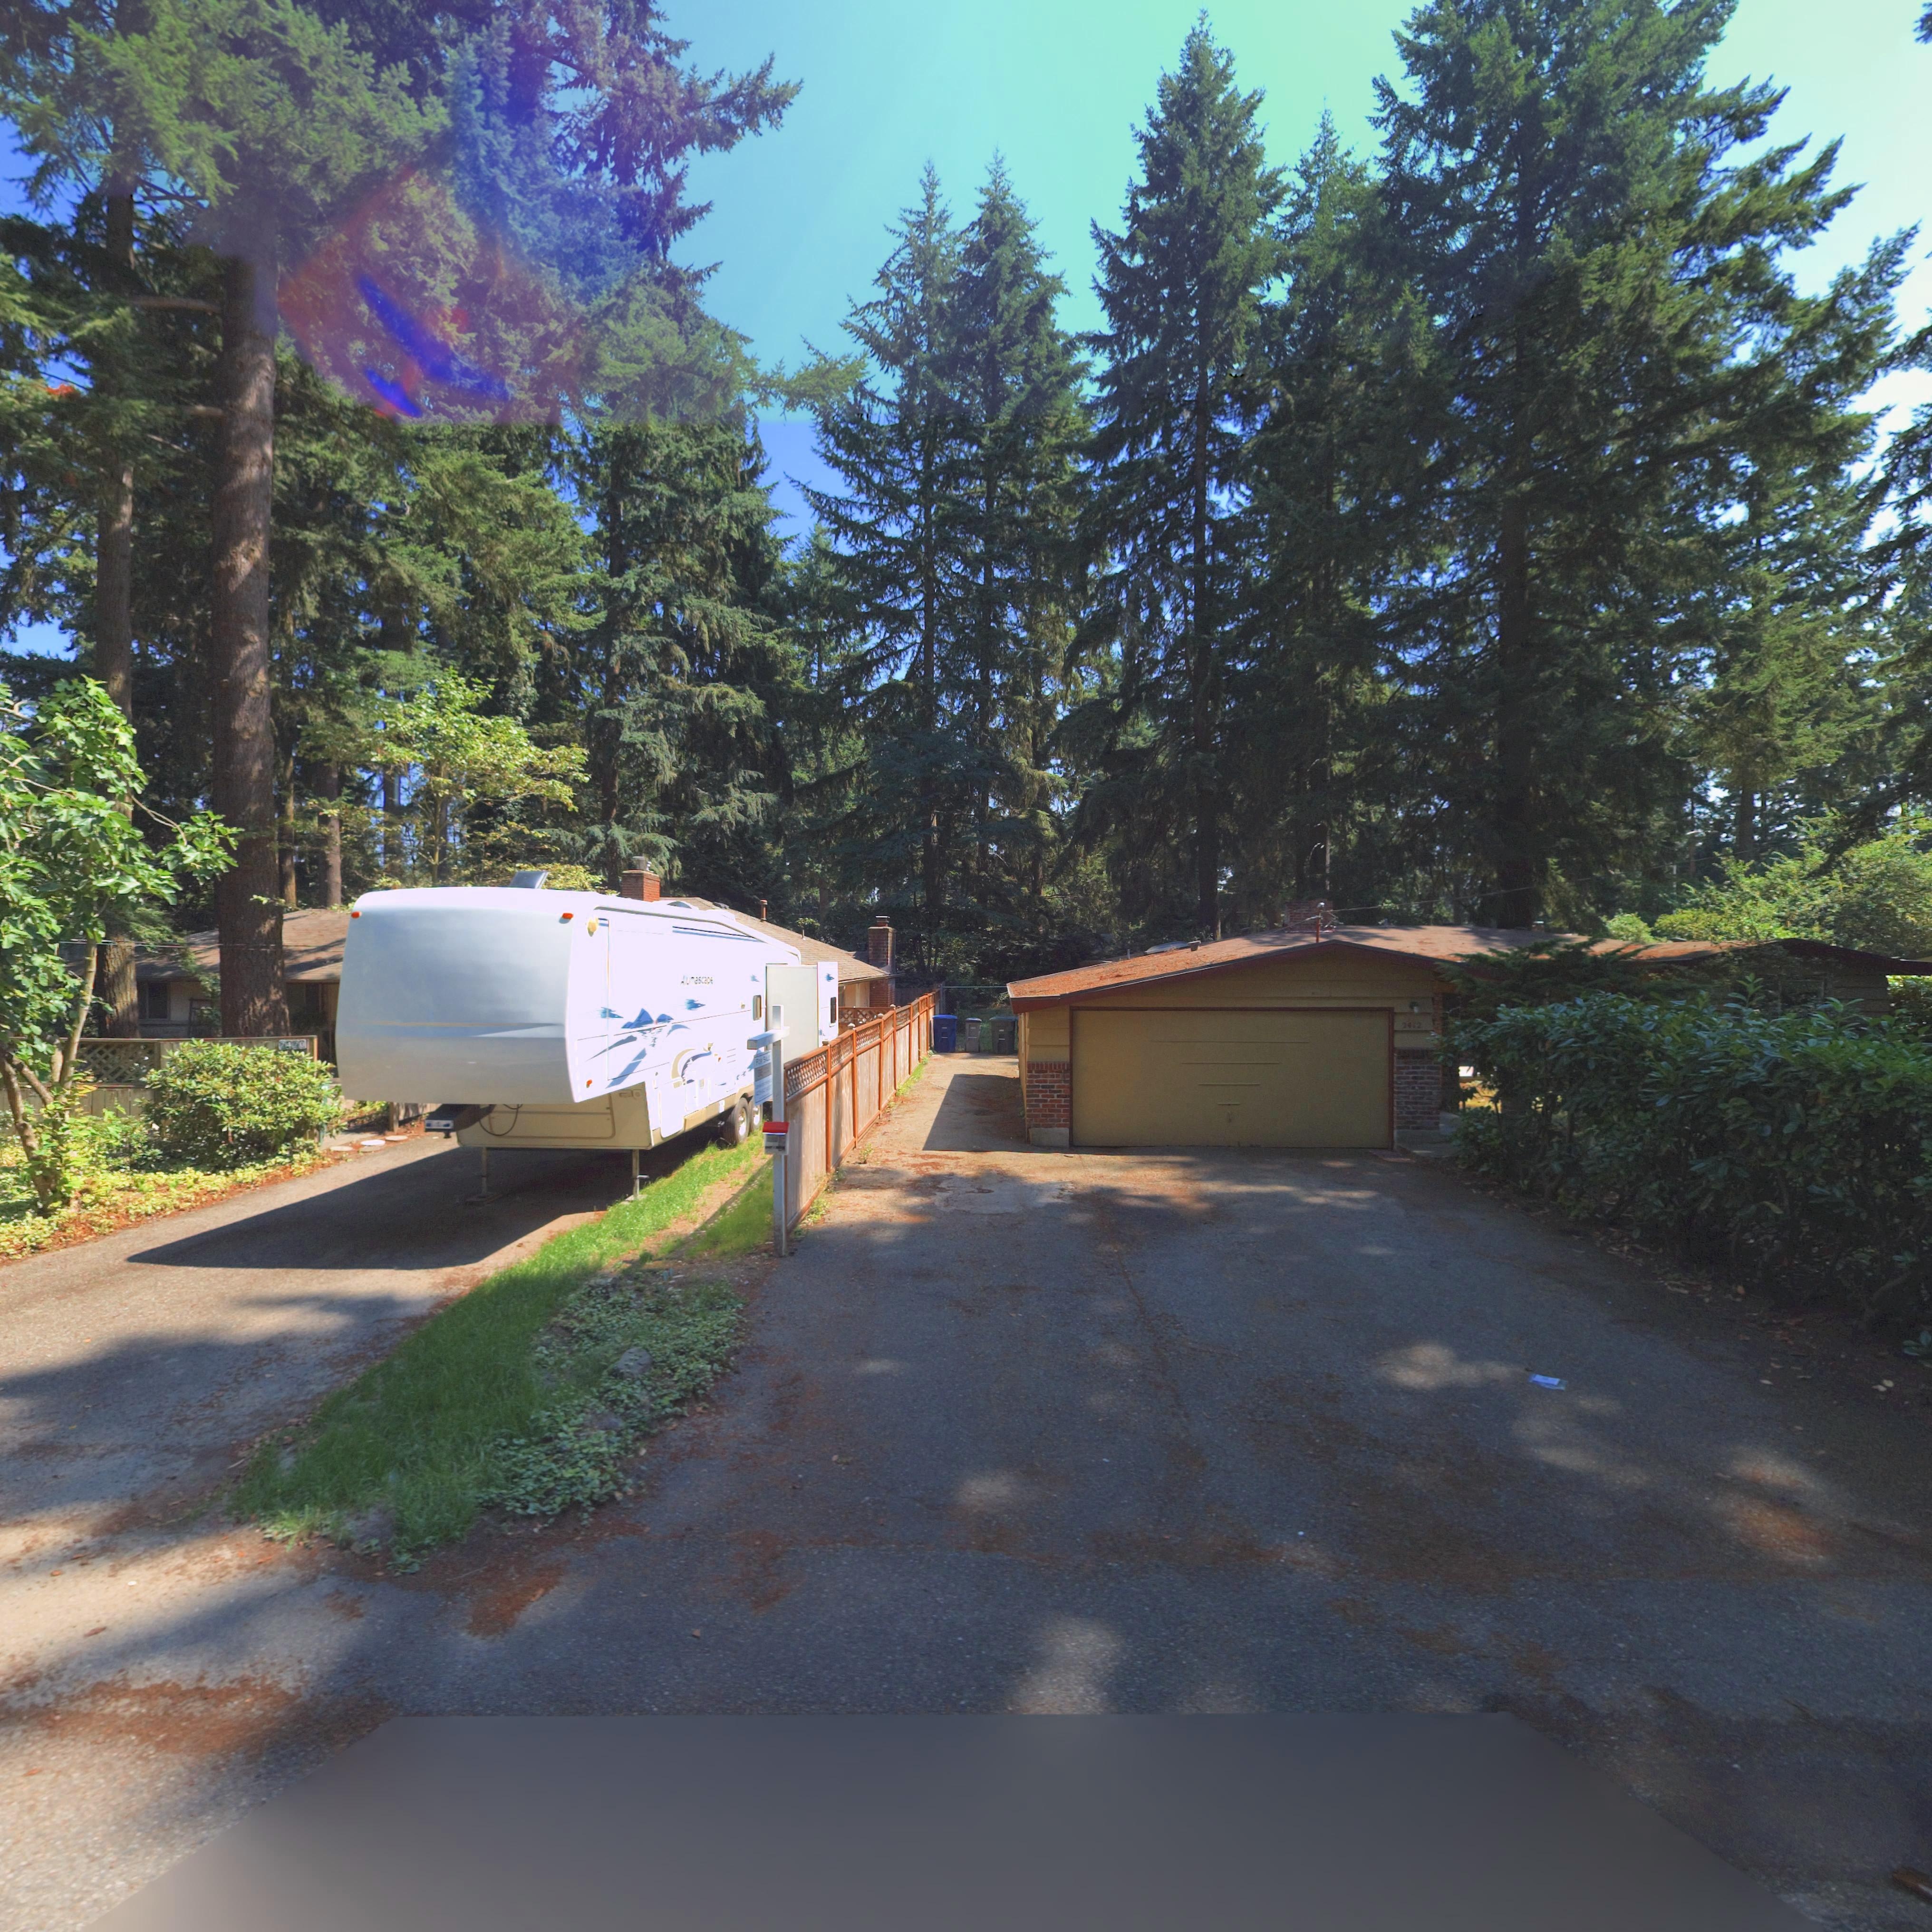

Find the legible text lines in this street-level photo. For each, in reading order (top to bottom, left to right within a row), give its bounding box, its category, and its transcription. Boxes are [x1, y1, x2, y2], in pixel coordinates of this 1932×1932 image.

[1401, 1021, 1422, 1029] StreetNumber: 2412
[279, 1040, 305, 1049] StreetNumber: 2420